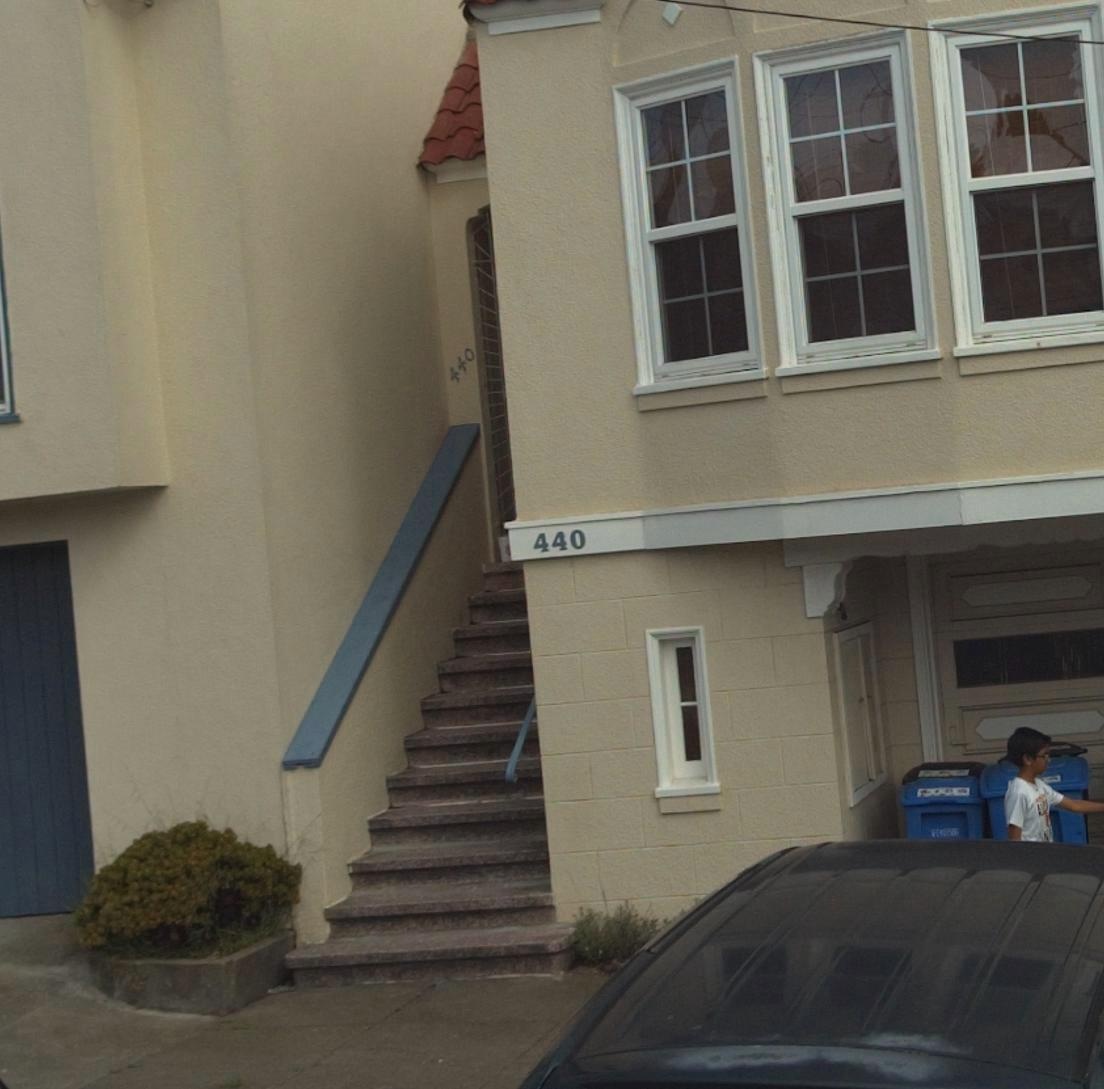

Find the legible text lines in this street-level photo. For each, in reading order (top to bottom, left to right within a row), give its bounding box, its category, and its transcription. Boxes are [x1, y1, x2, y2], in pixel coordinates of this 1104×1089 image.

[448, 344, 477, 386] StreetNumber: 440
[529, 527, 590, 555] StreetNumber: 440